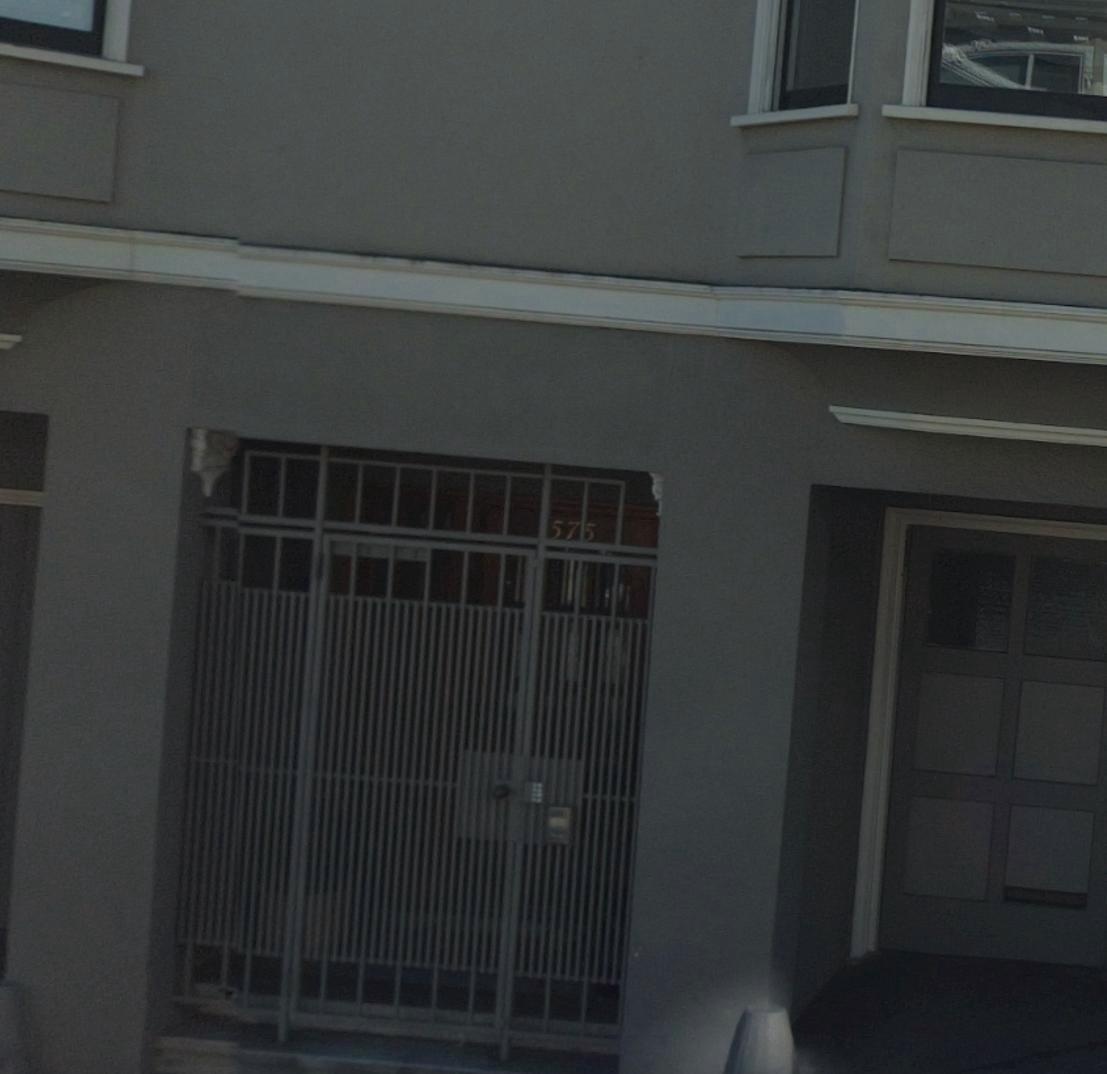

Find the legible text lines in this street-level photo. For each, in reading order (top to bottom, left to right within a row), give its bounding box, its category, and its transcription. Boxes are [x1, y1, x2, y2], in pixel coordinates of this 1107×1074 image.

[548, 519, 600, 544] StreetNumber: 575